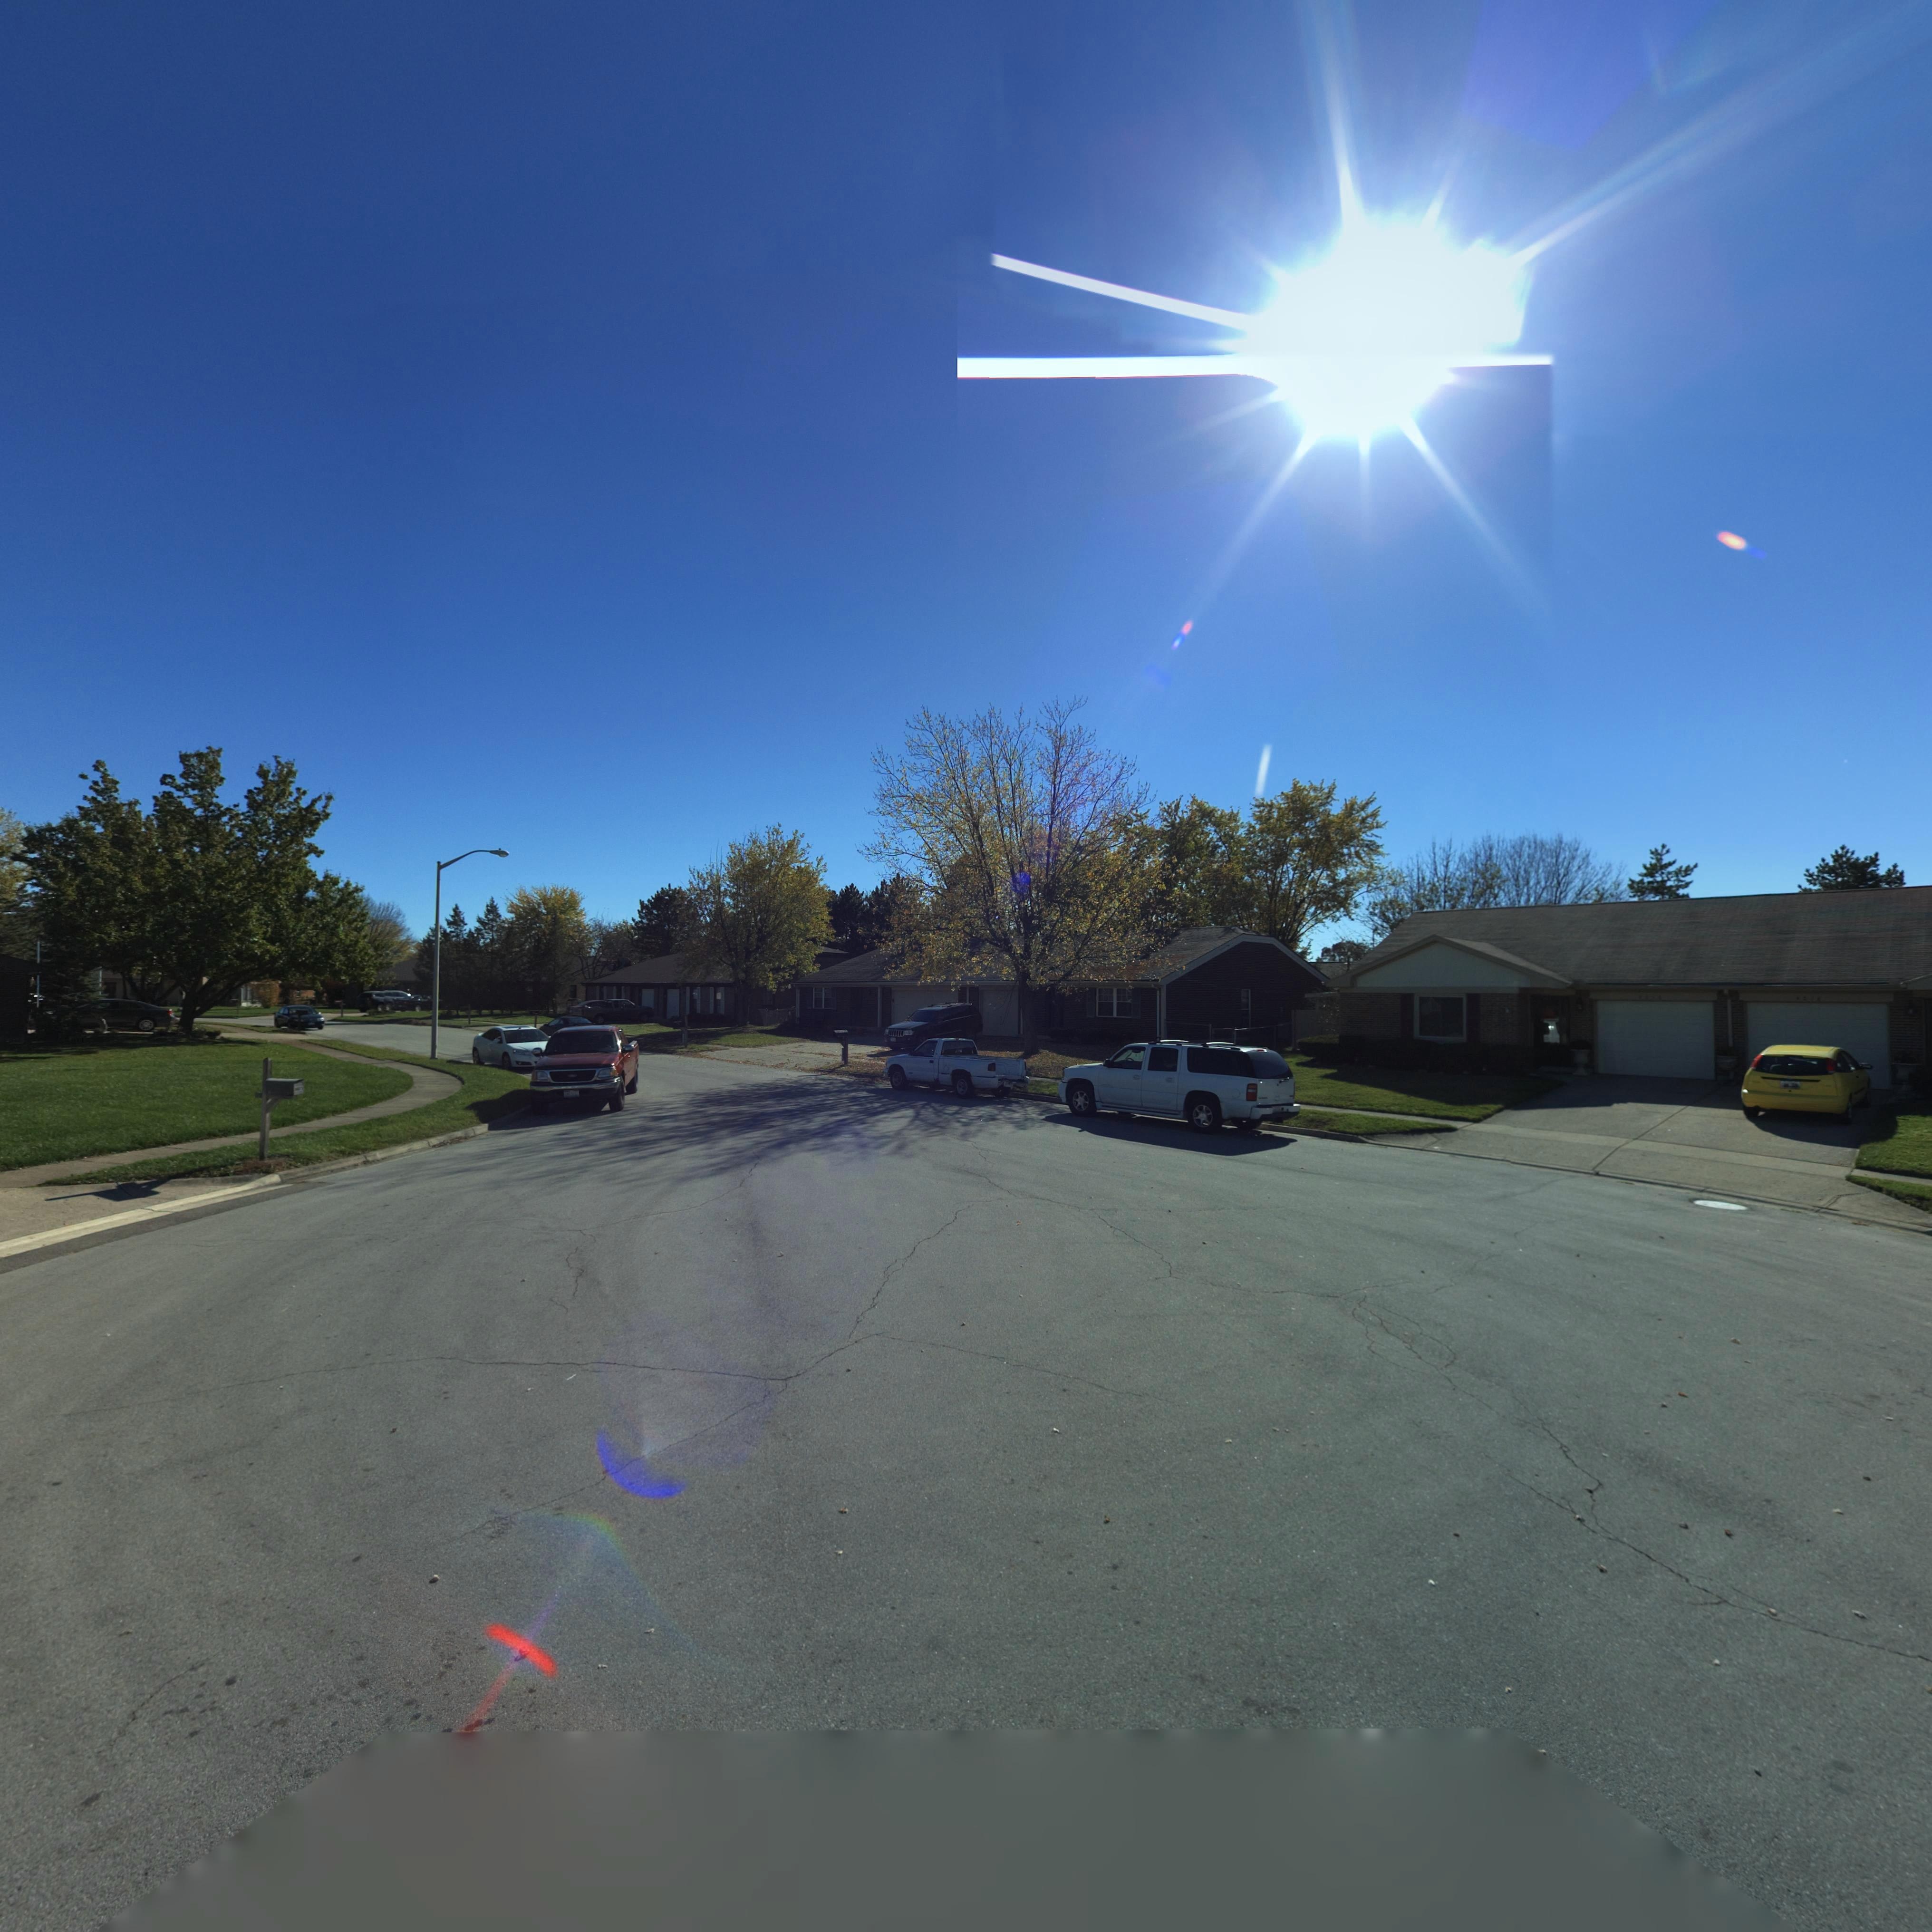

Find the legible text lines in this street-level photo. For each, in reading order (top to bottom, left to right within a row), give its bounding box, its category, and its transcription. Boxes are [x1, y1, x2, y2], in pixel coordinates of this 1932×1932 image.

[1638, 995, 1662, 1000] StreetNumber: 4016
[1796, 995, 1821, 1001] StreetNumber: 401*
[841, 1049, 844, 1060] StreetNumber: 40*4